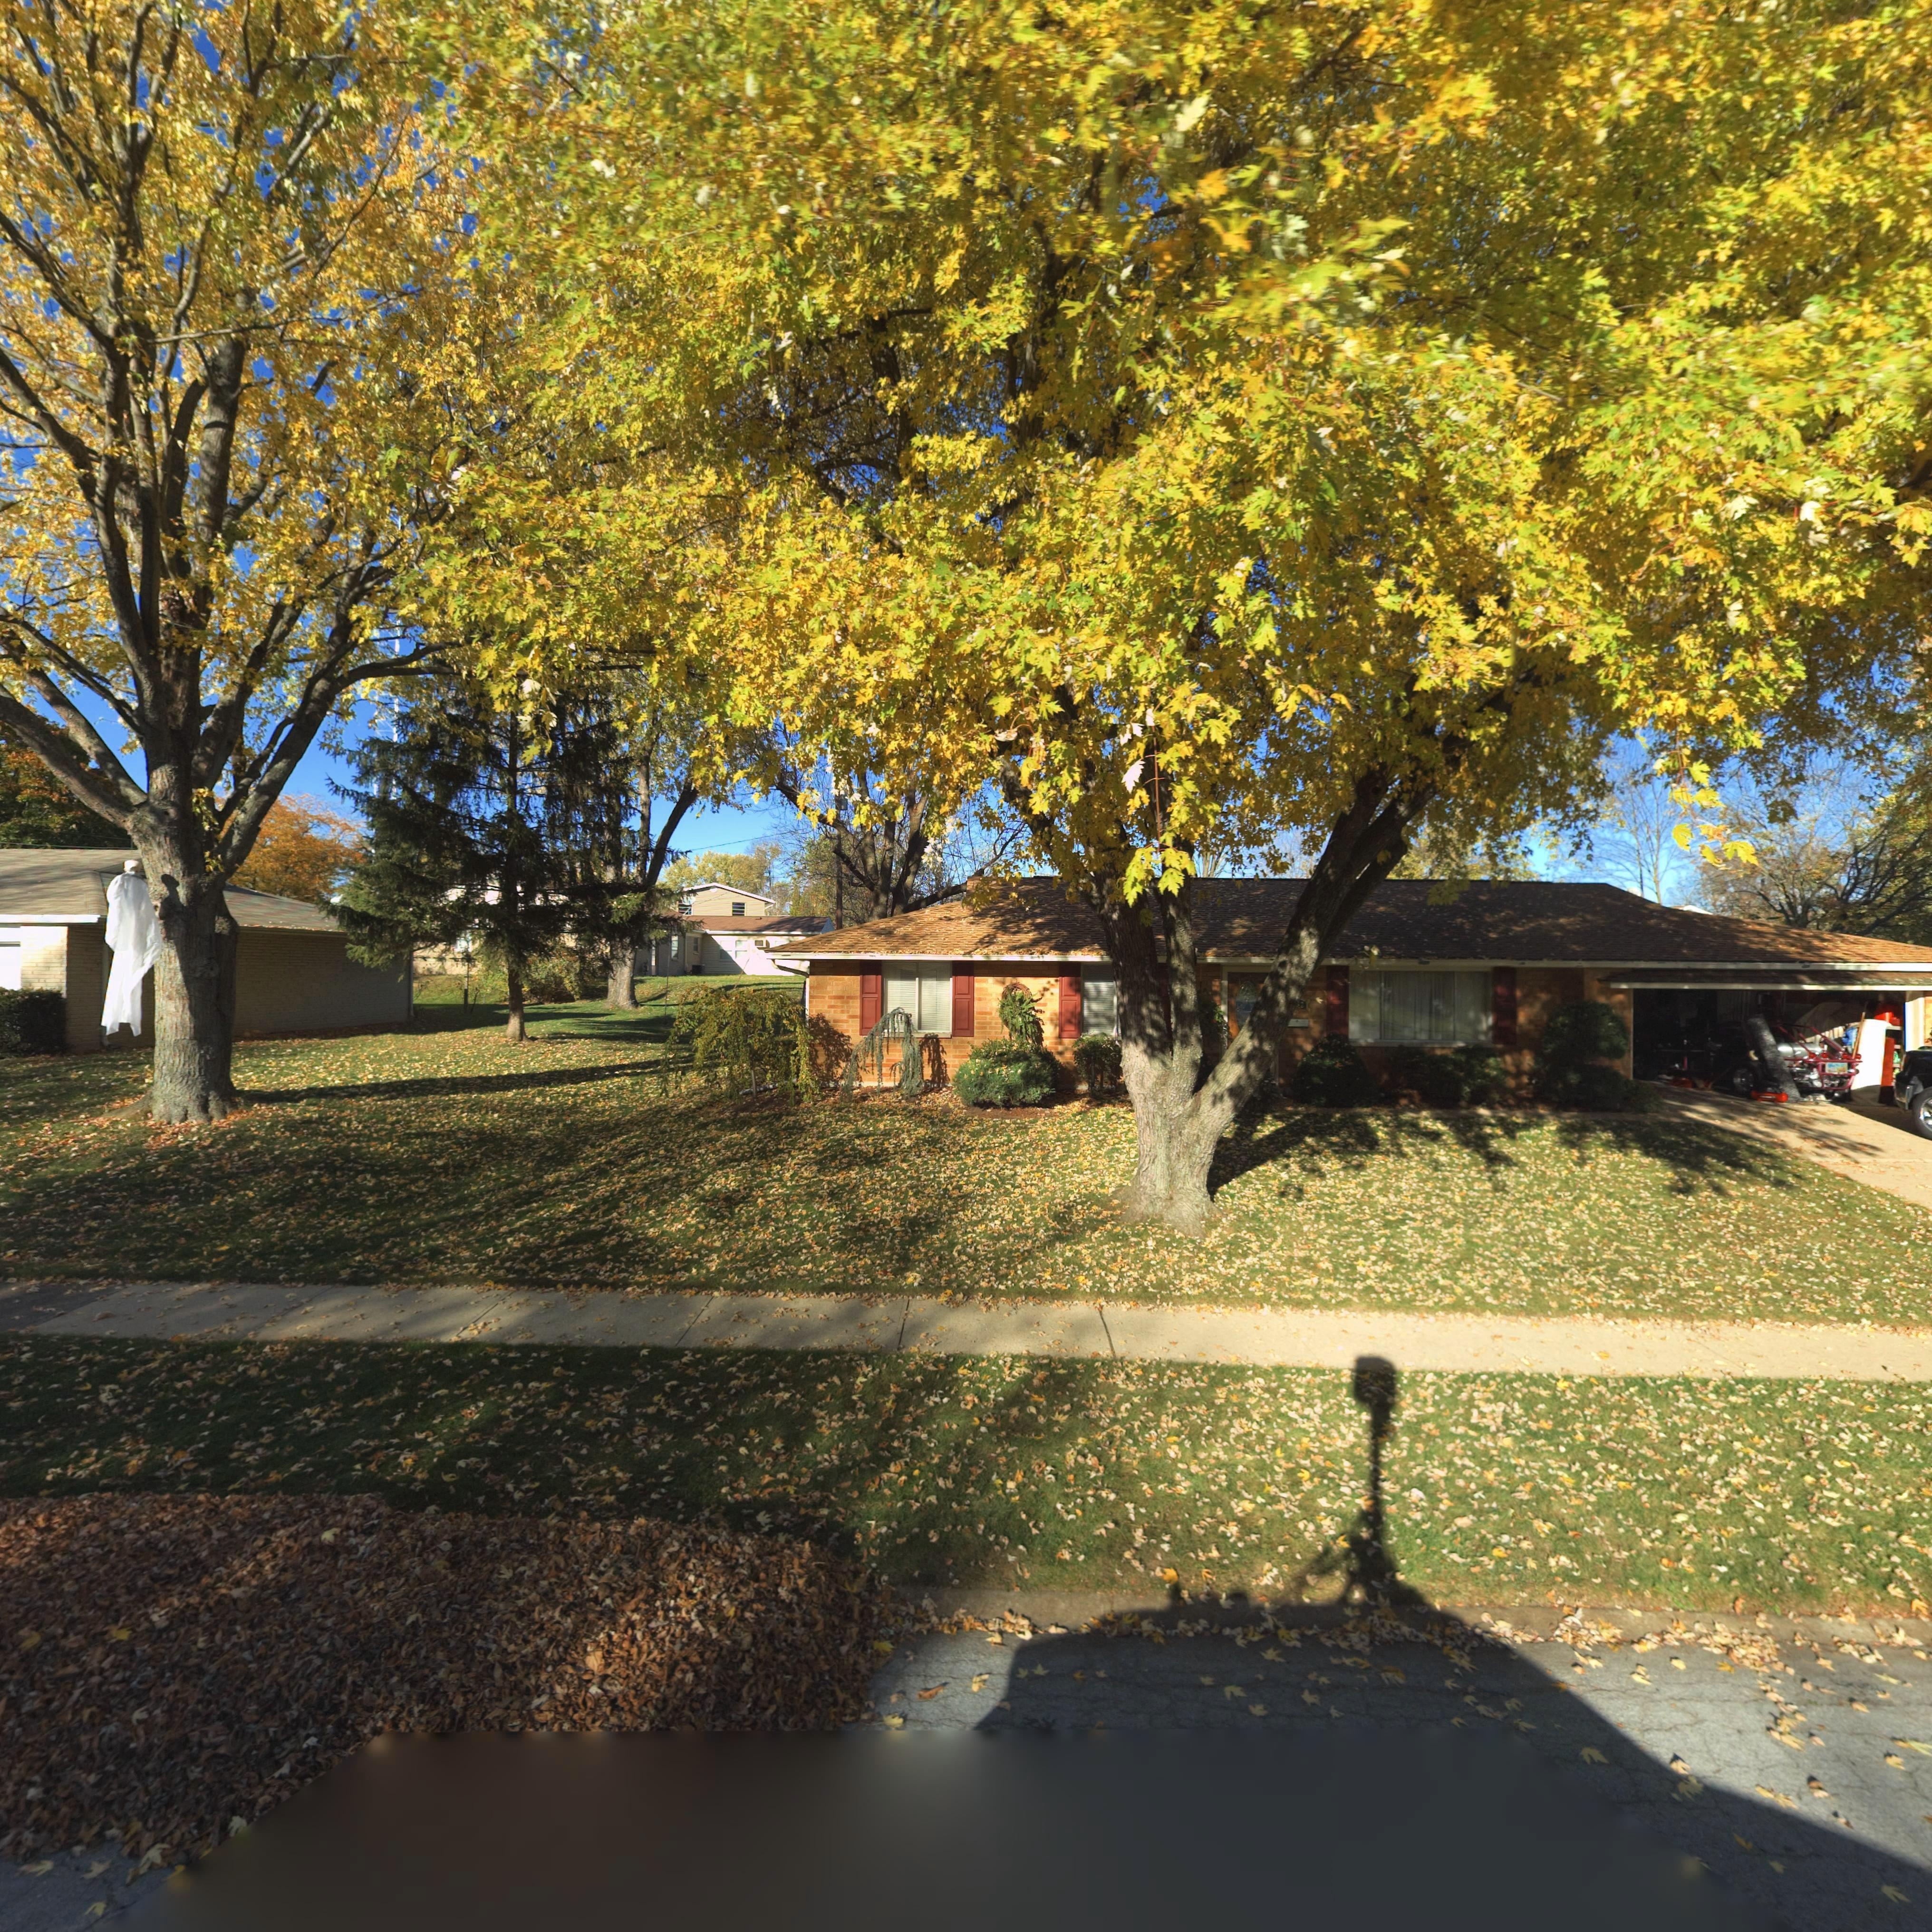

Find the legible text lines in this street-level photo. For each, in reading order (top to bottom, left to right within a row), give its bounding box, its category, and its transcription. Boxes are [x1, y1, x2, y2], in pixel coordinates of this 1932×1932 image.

[1300, 1001, 1304, 1008] StreetNumber: 8